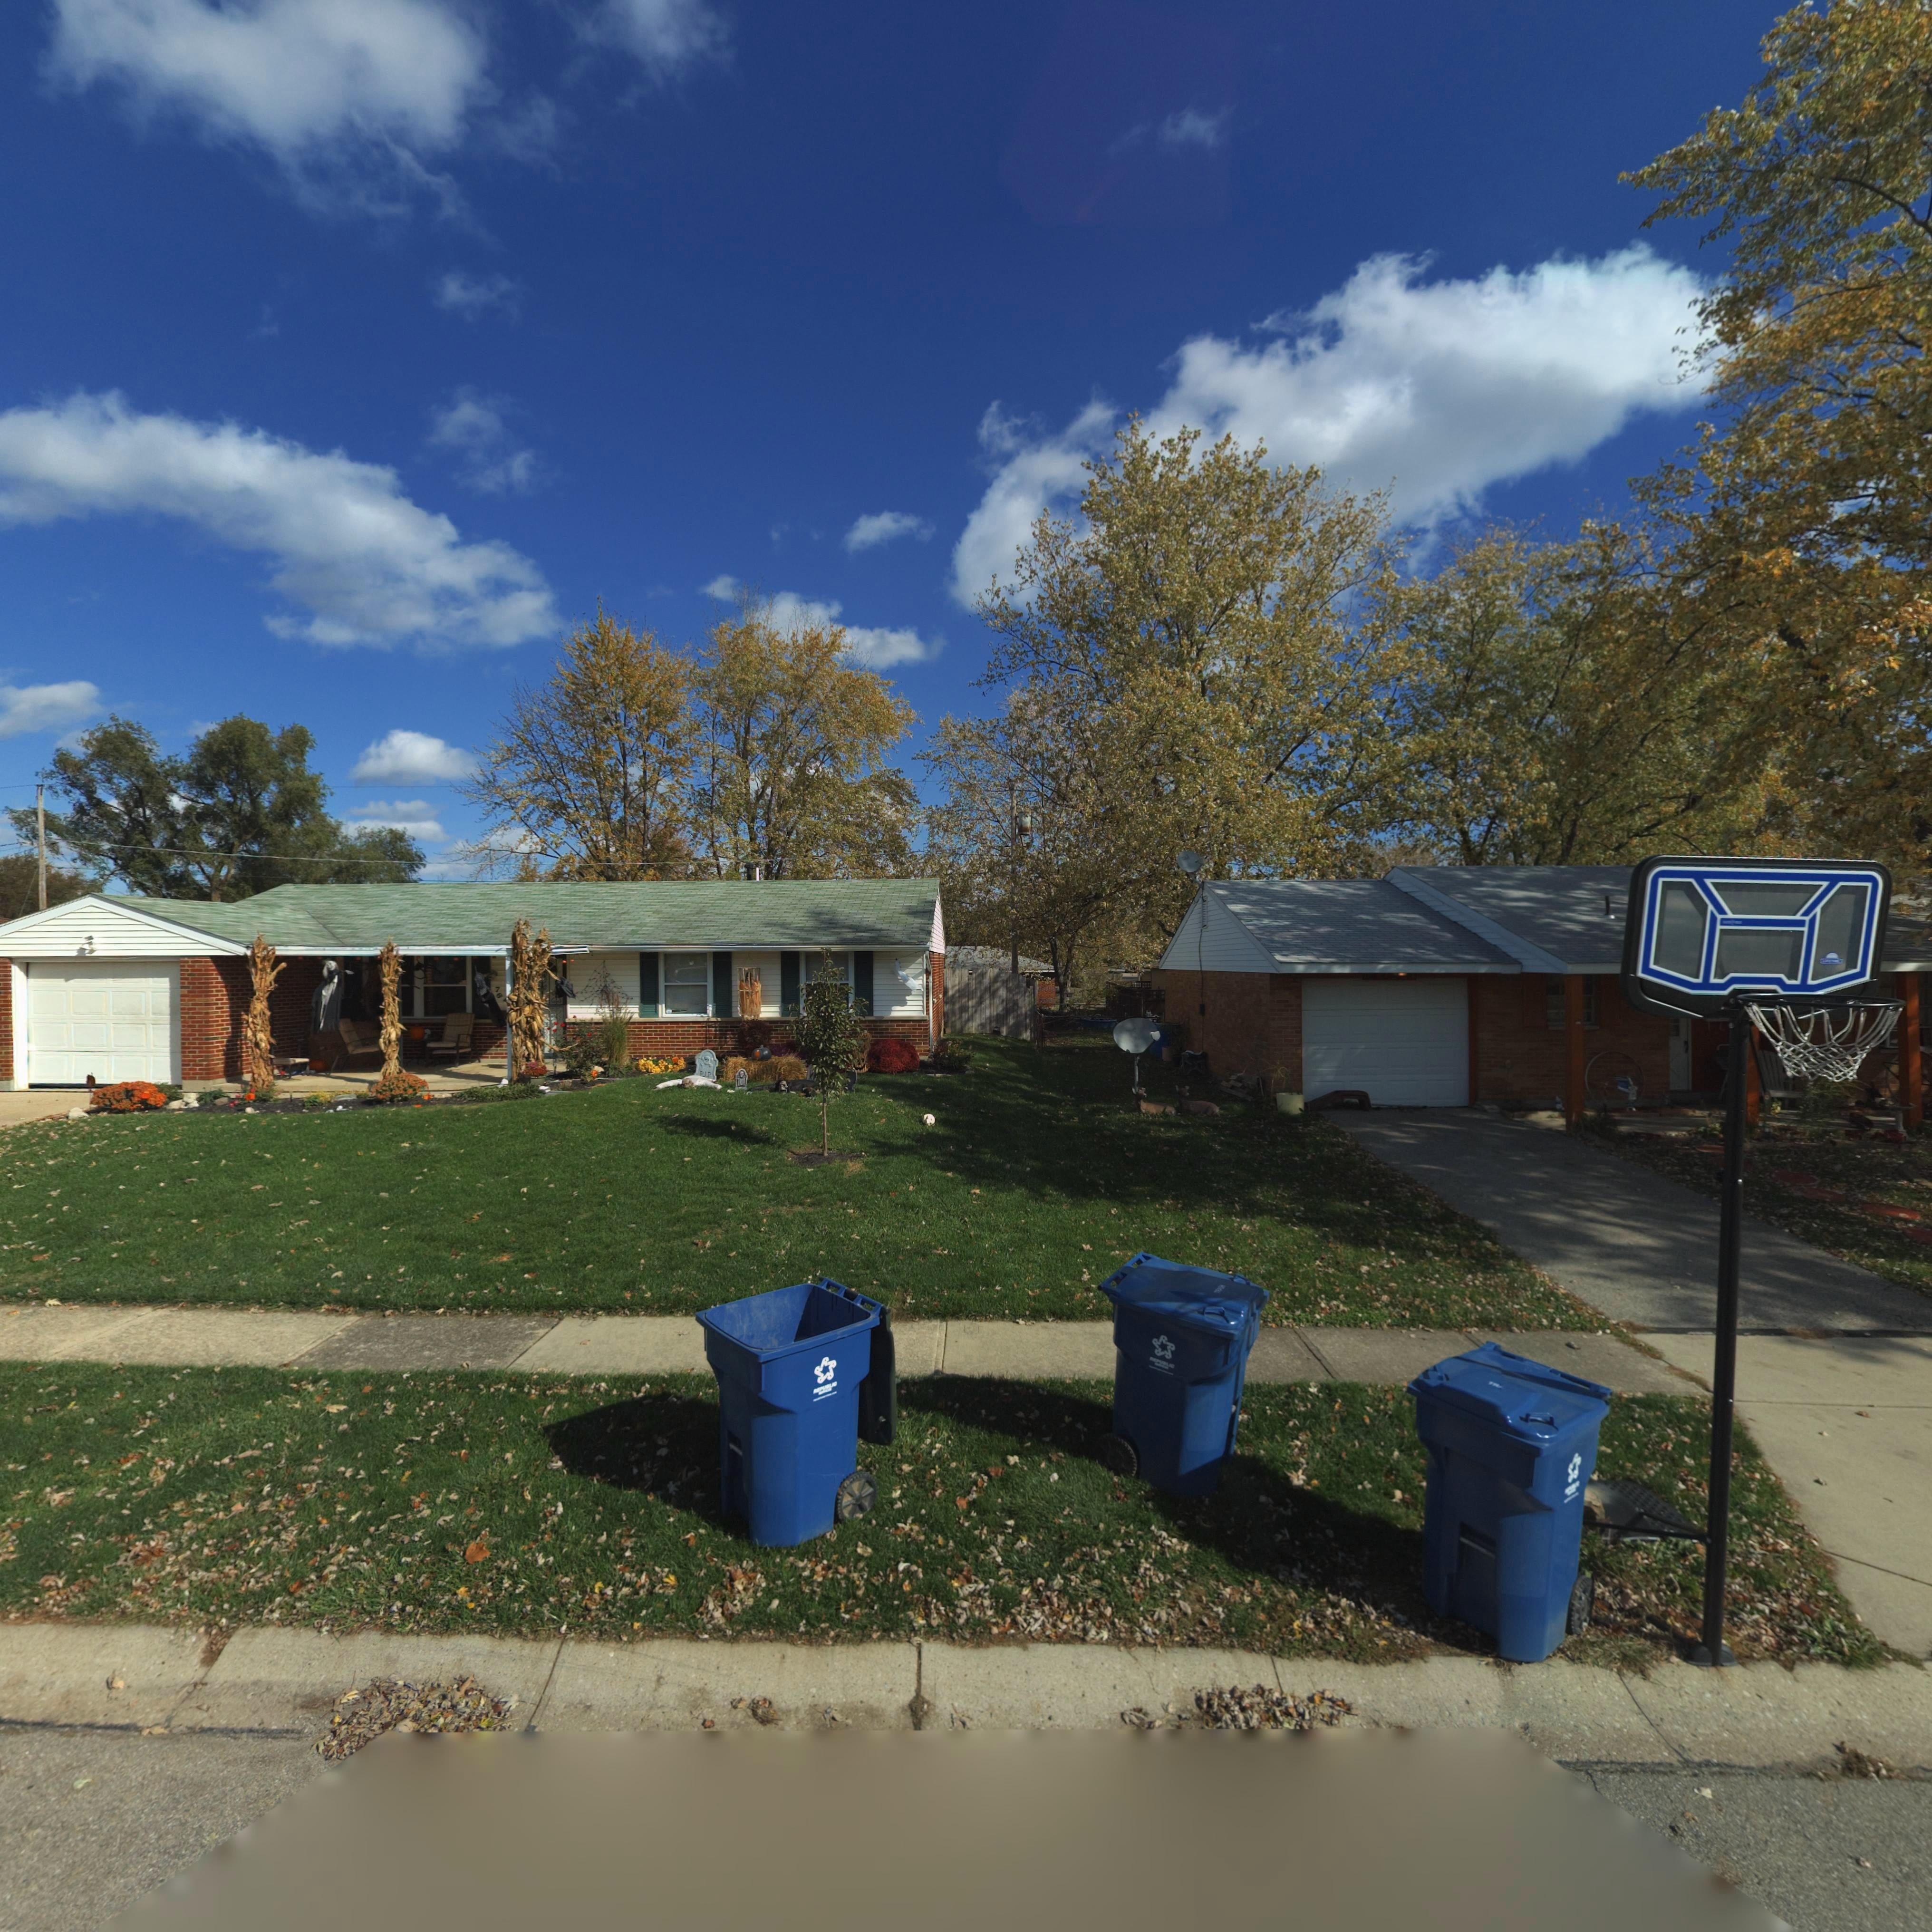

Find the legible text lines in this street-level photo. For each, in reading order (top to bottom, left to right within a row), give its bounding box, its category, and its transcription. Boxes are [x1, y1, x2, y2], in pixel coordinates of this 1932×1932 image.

[494, 986, 503, 999] StreetNumber: 76